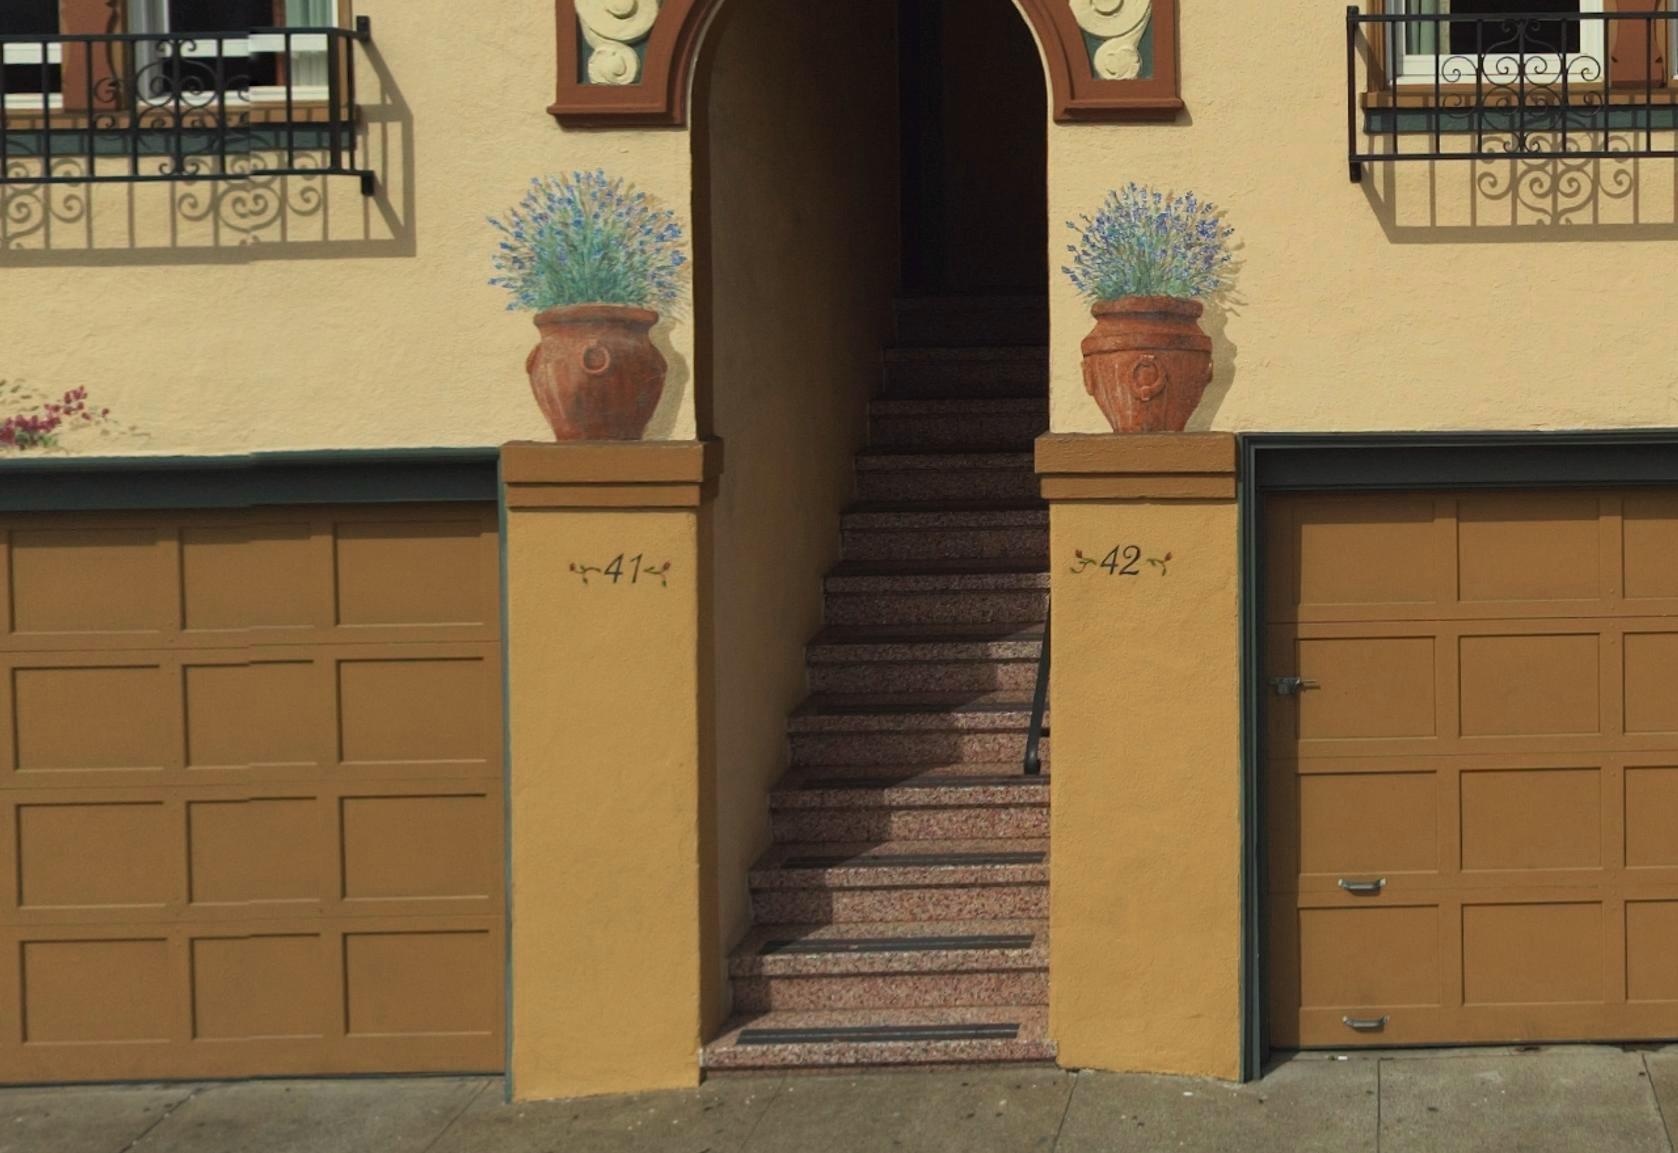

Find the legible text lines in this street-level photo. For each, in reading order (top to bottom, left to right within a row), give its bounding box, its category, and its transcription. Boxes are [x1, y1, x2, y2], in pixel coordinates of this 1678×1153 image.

[602, 551, 643, 585] StreetNumber: 41
[1098, 544, 1142, 578] StreetNumber: 42